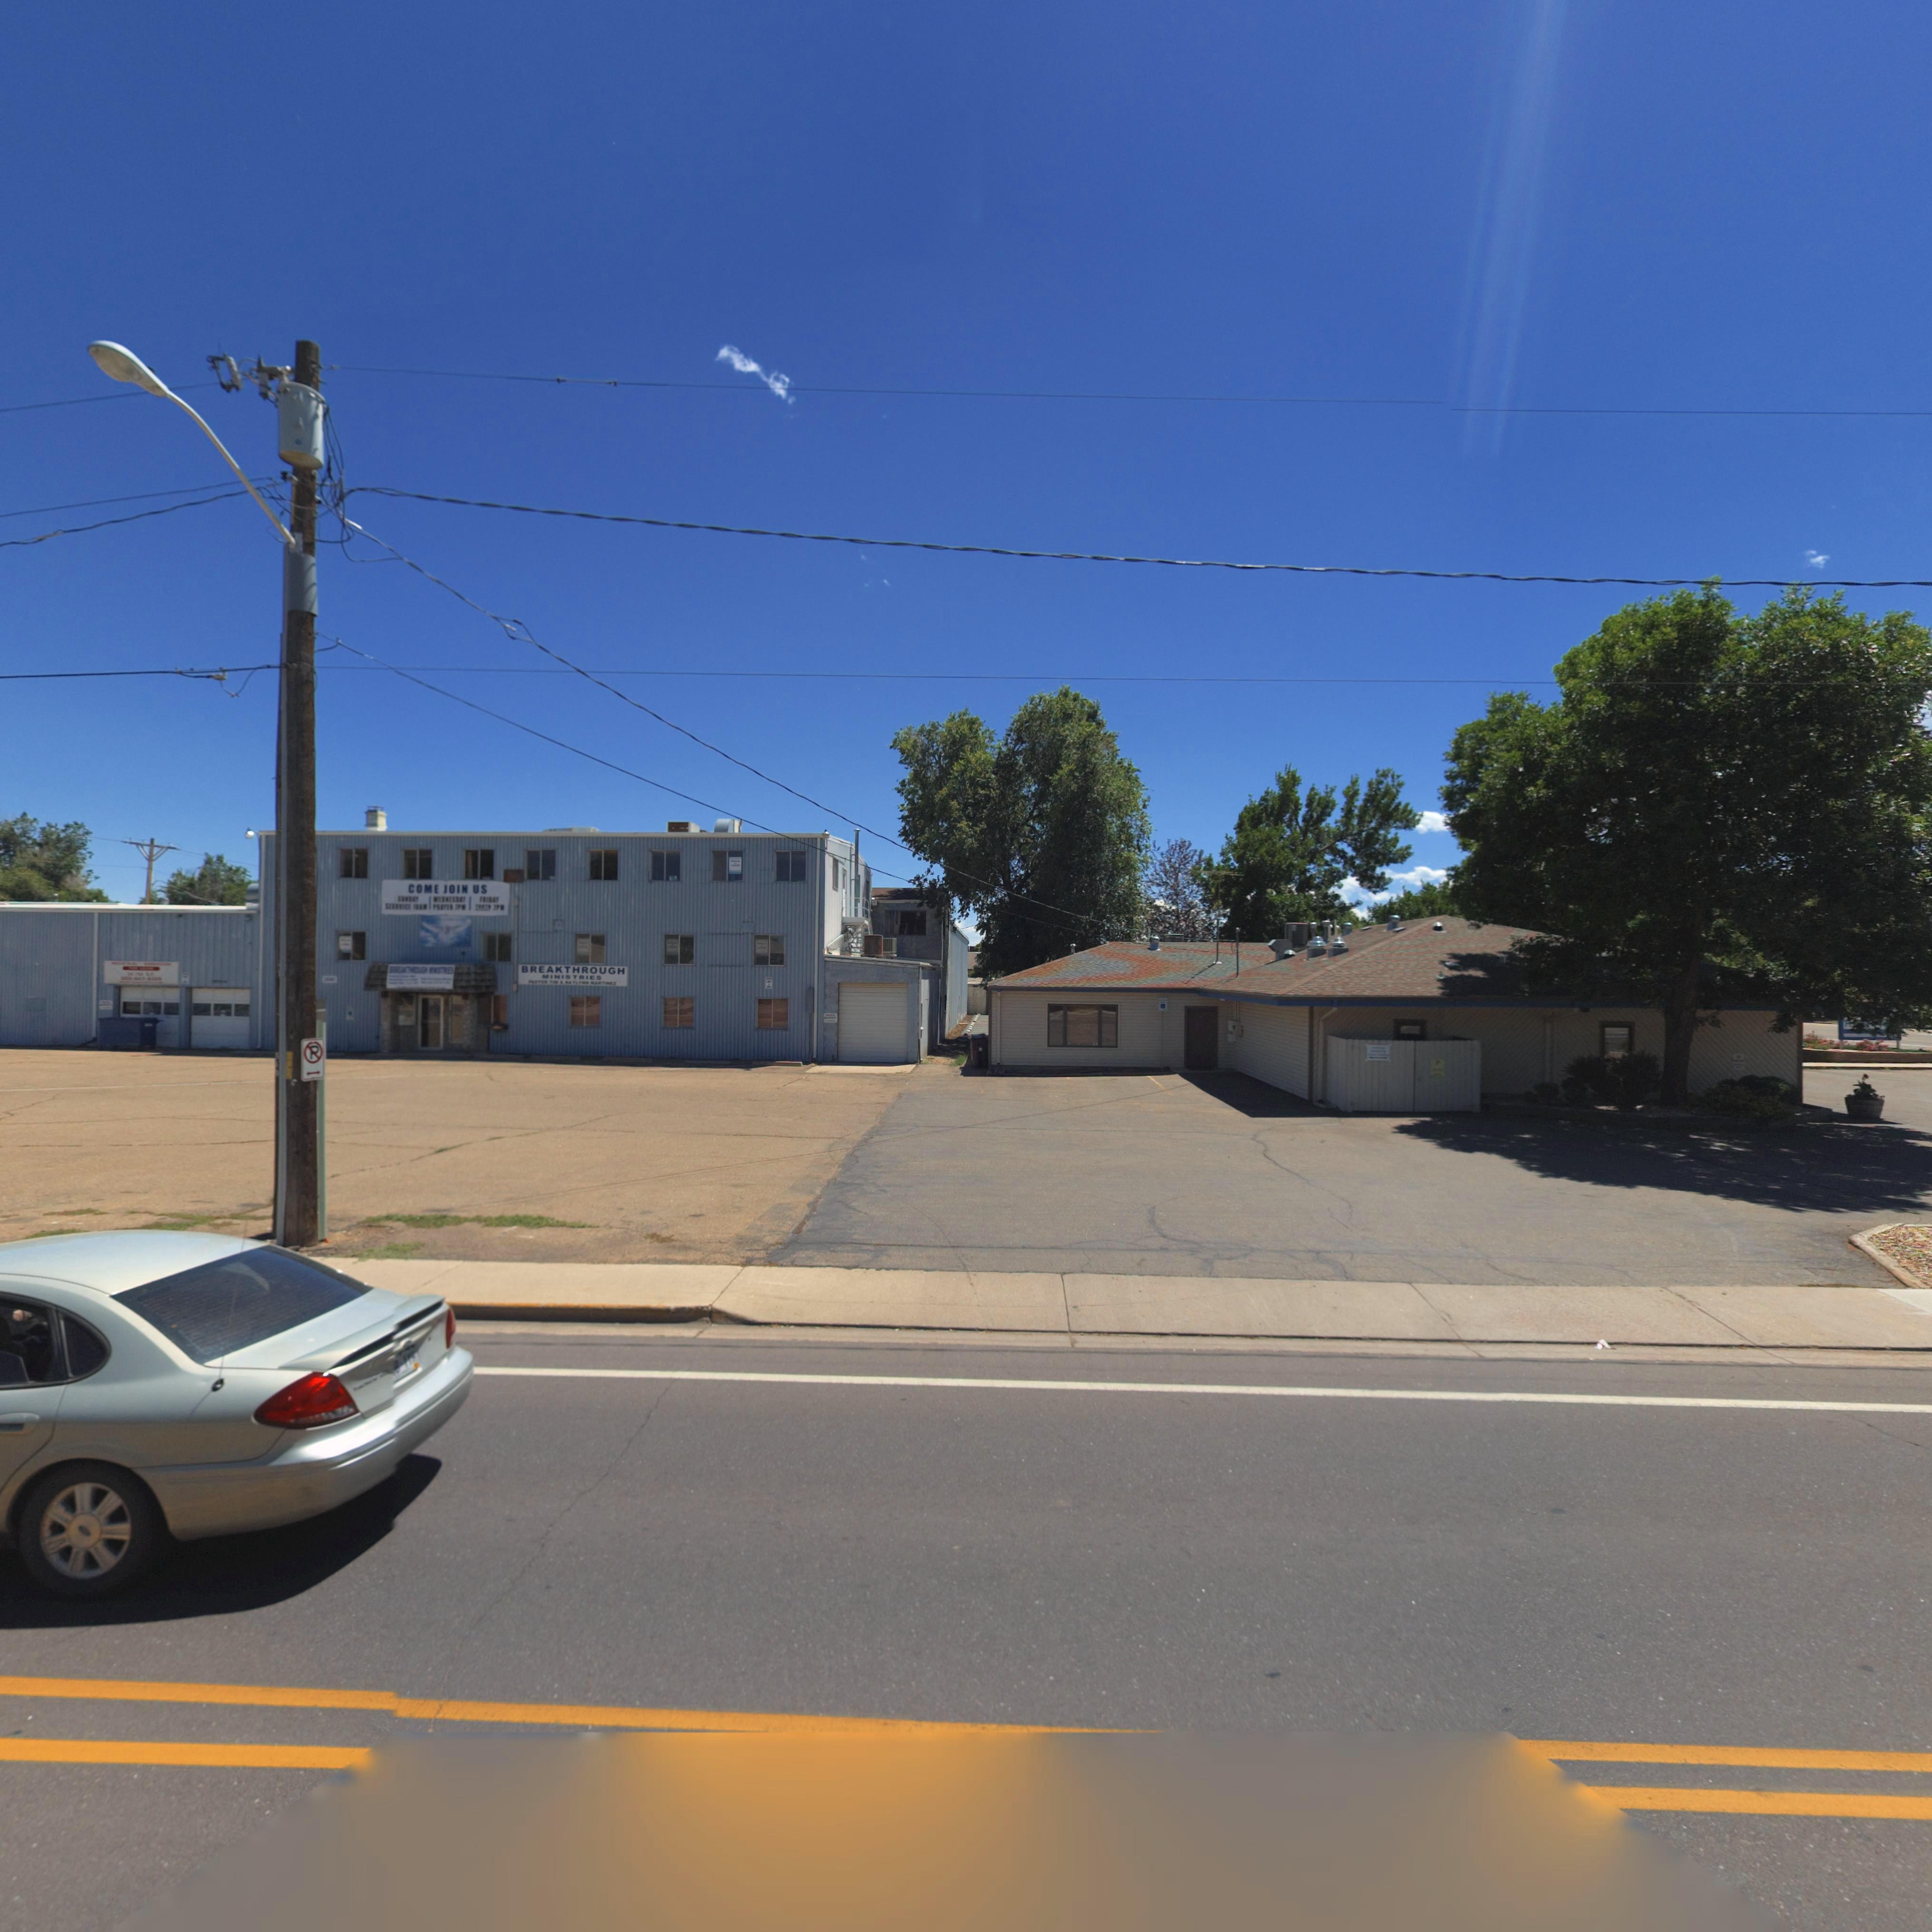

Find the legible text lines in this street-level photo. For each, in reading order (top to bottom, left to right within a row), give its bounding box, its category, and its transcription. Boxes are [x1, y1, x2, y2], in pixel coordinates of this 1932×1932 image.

[389, 965, 454, 974] BusinessName: BREAKTHROUGH MINISTRIES
[521, 965, 625, 975] BusinessName: BREAKTHROUGH
[542, 974, 601, 980] BusinessName: MINISTRIES